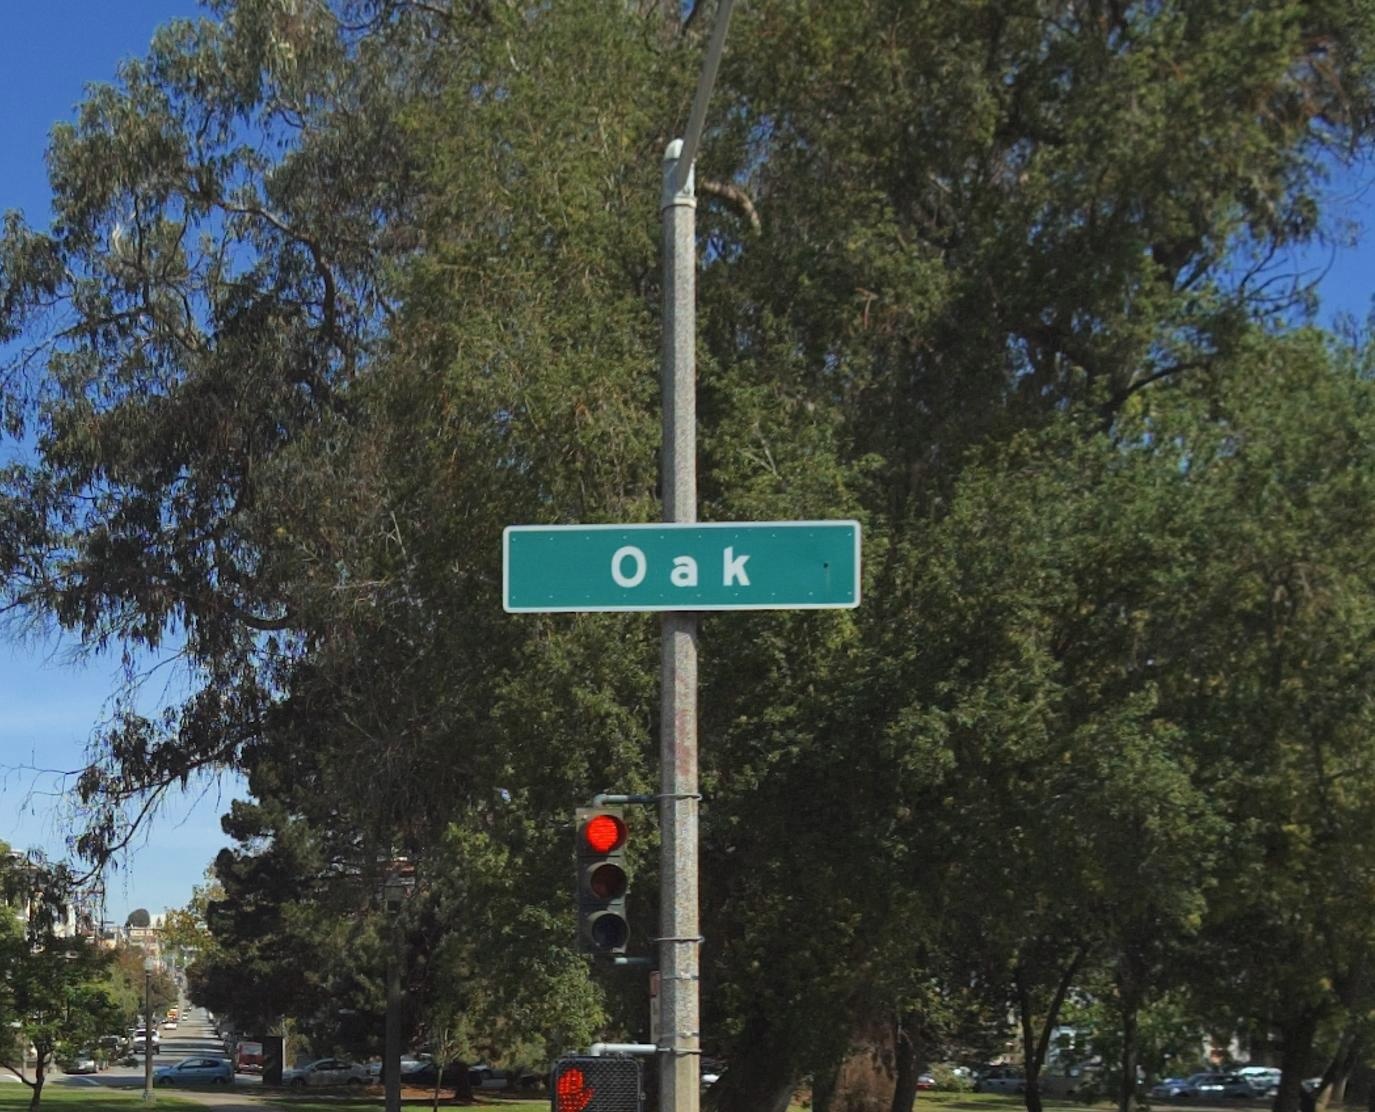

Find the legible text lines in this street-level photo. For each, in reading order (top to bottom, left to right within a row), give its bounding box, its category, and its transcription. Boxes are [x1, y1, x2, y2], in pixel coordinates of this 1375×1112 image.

[607, 542, 753, 590] StreetName: Oak